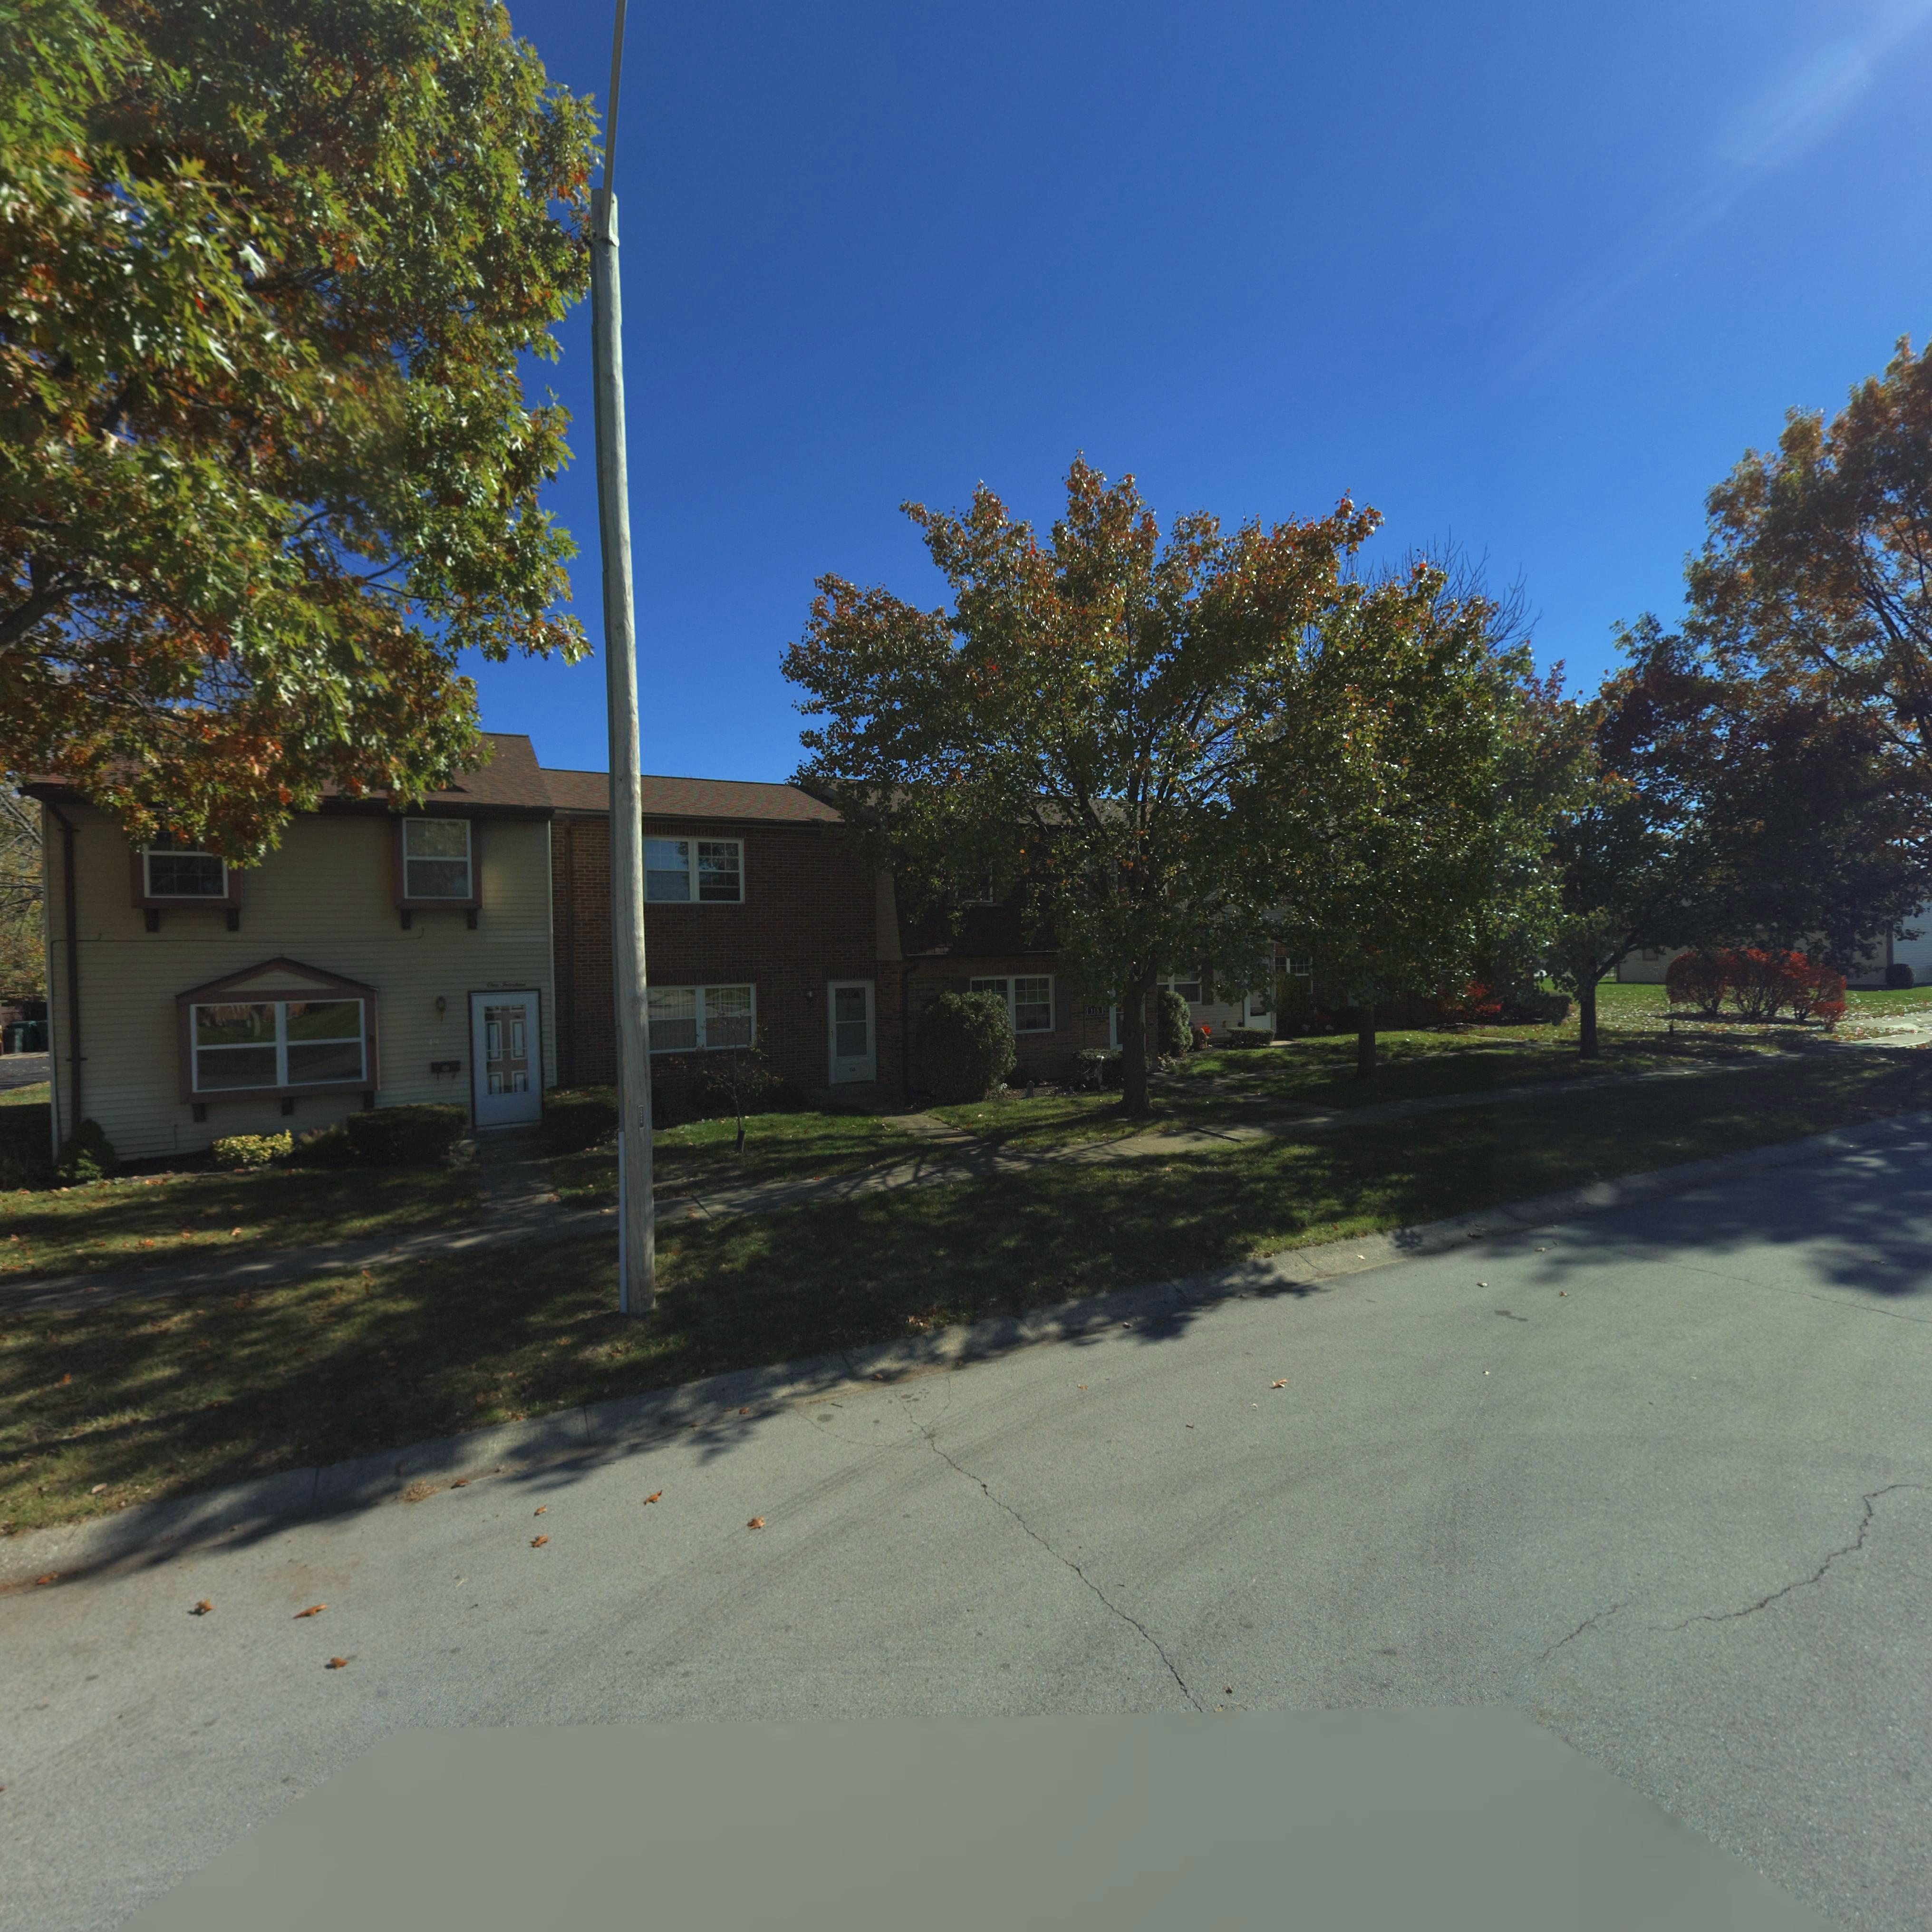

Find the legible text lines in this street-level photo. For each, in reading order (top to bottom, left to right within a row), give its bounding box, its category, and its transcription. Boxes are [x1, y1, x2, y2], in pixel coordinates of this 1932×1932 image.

[1090, 1006, 1100, 1015] StreetNumber: 11*
[848, 1066, 857, 1073] StreetNumber: 116